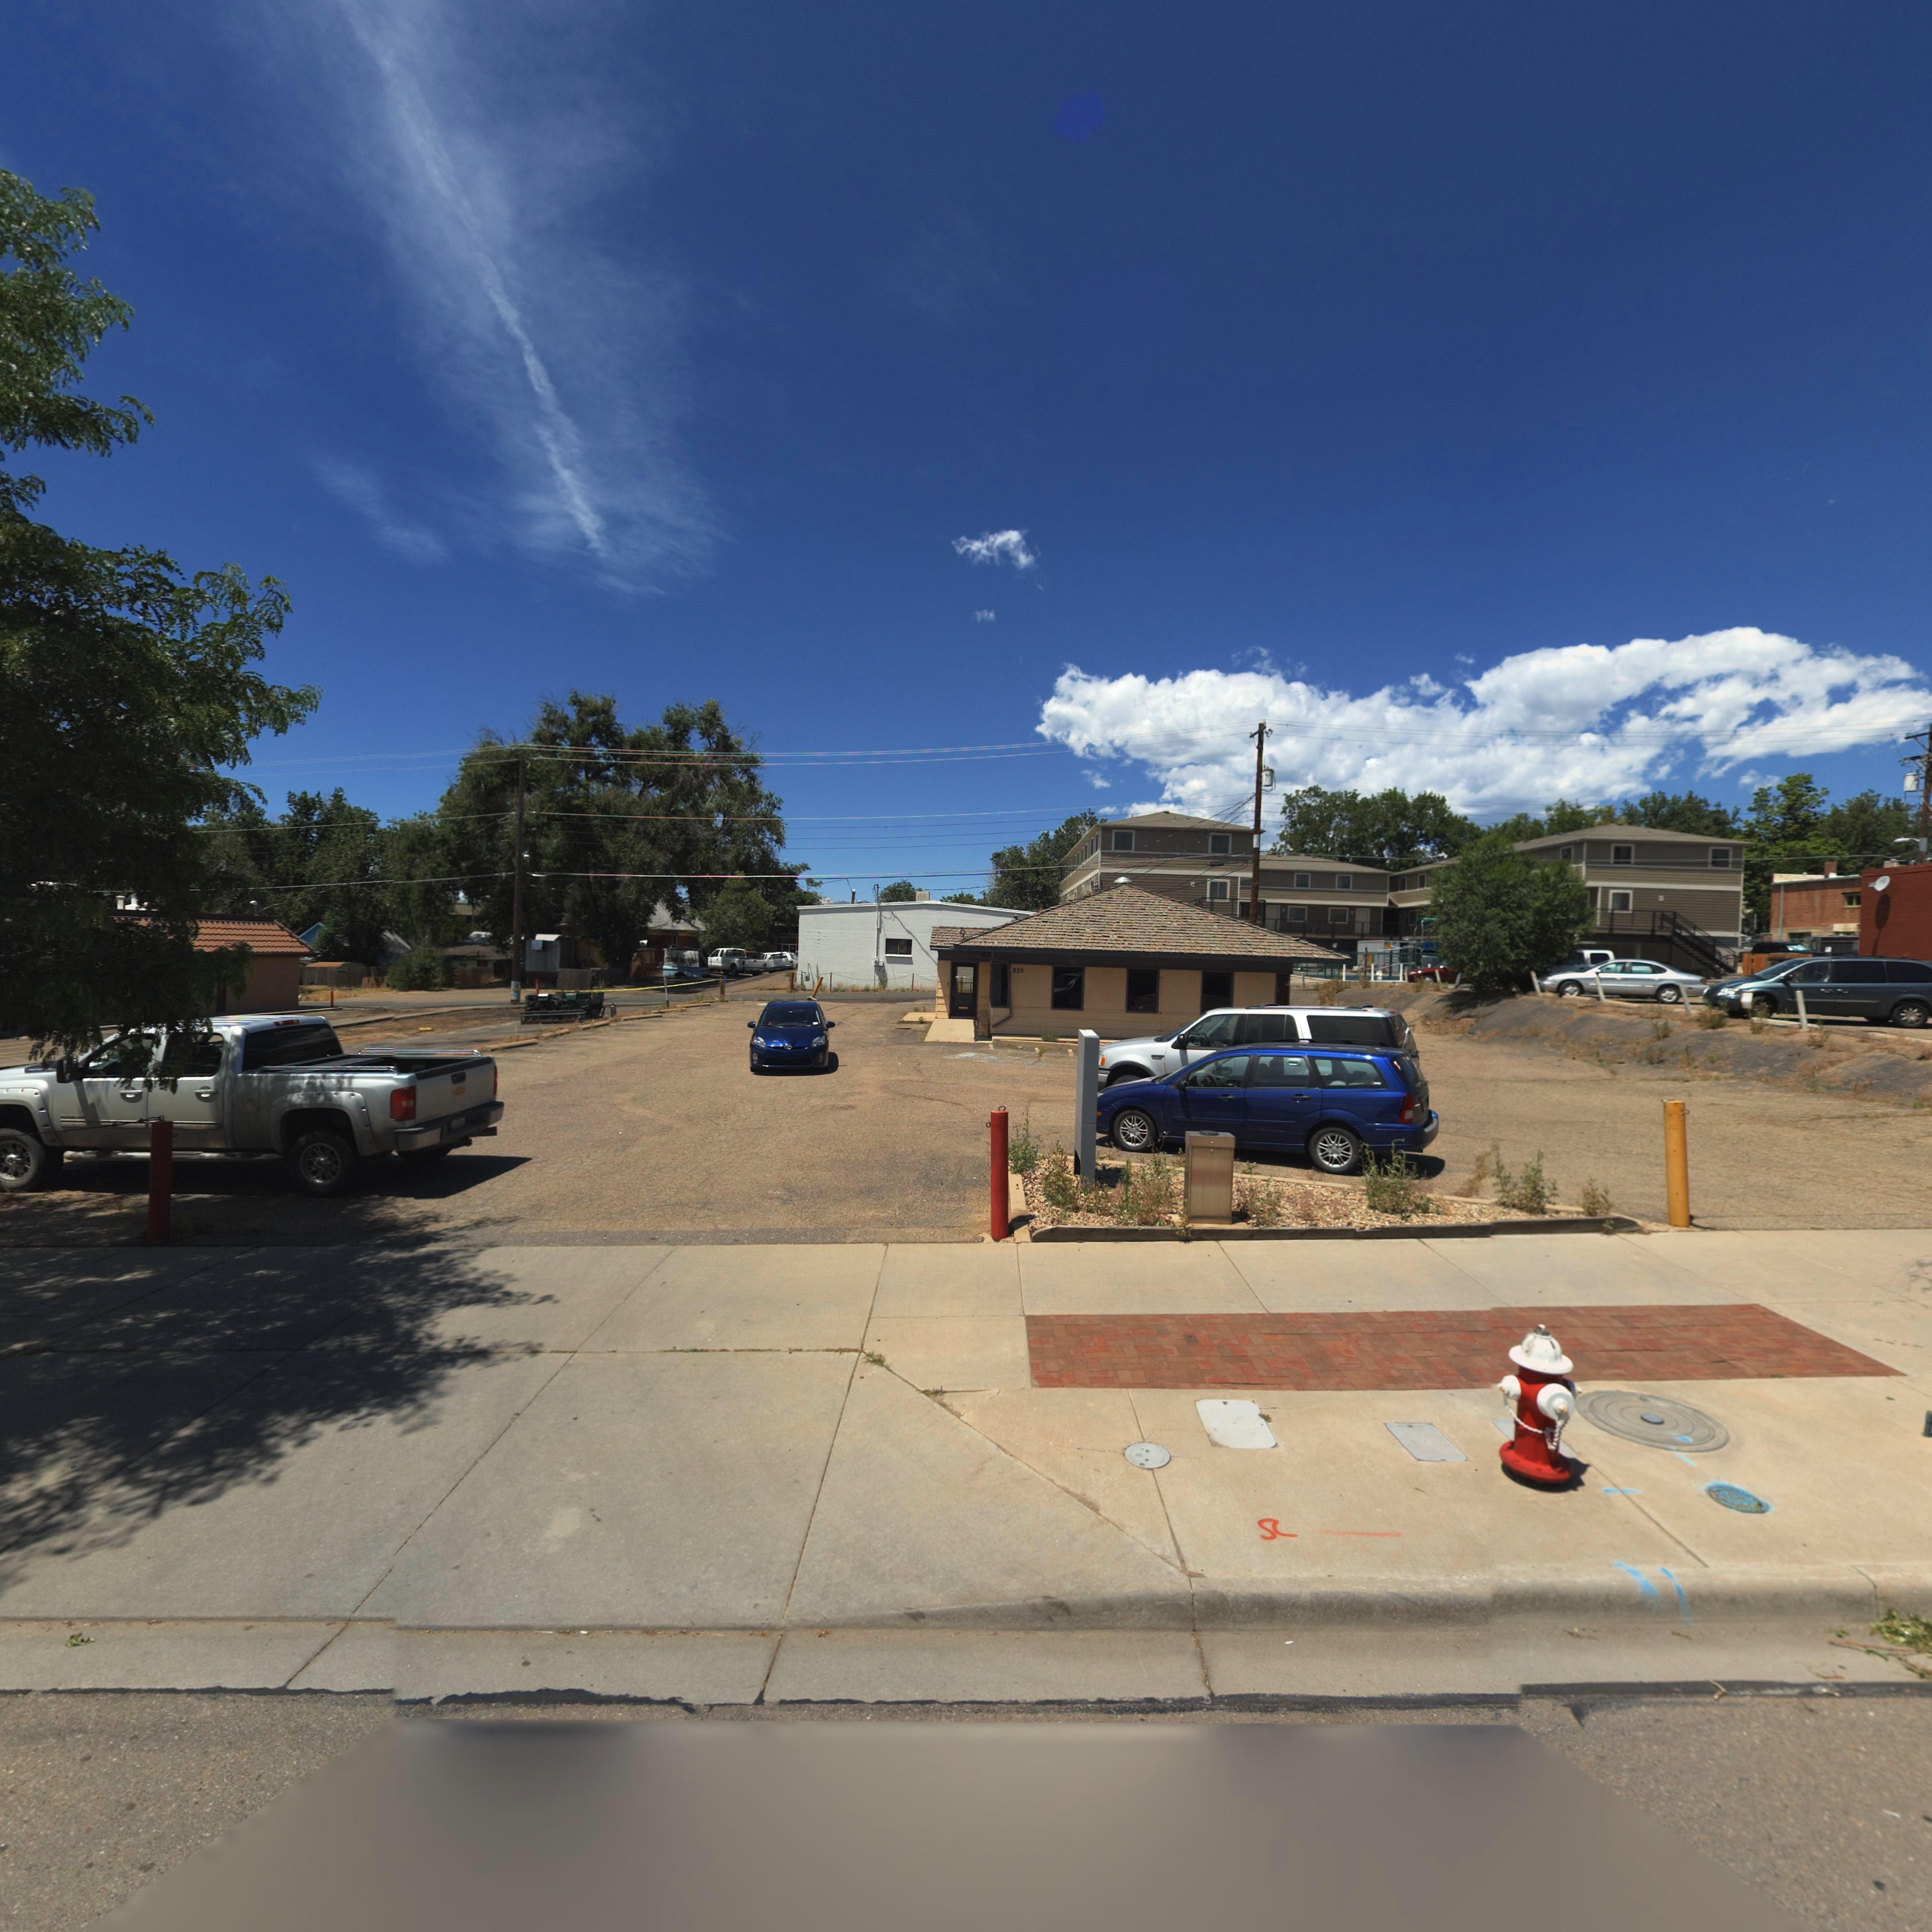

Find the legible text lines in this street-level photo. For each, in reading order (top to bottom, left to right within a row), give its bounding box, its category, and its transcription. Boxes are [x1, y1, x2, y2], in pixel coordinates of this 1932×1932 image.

[1012, 967, 1024, 973] StreetNumber: 225